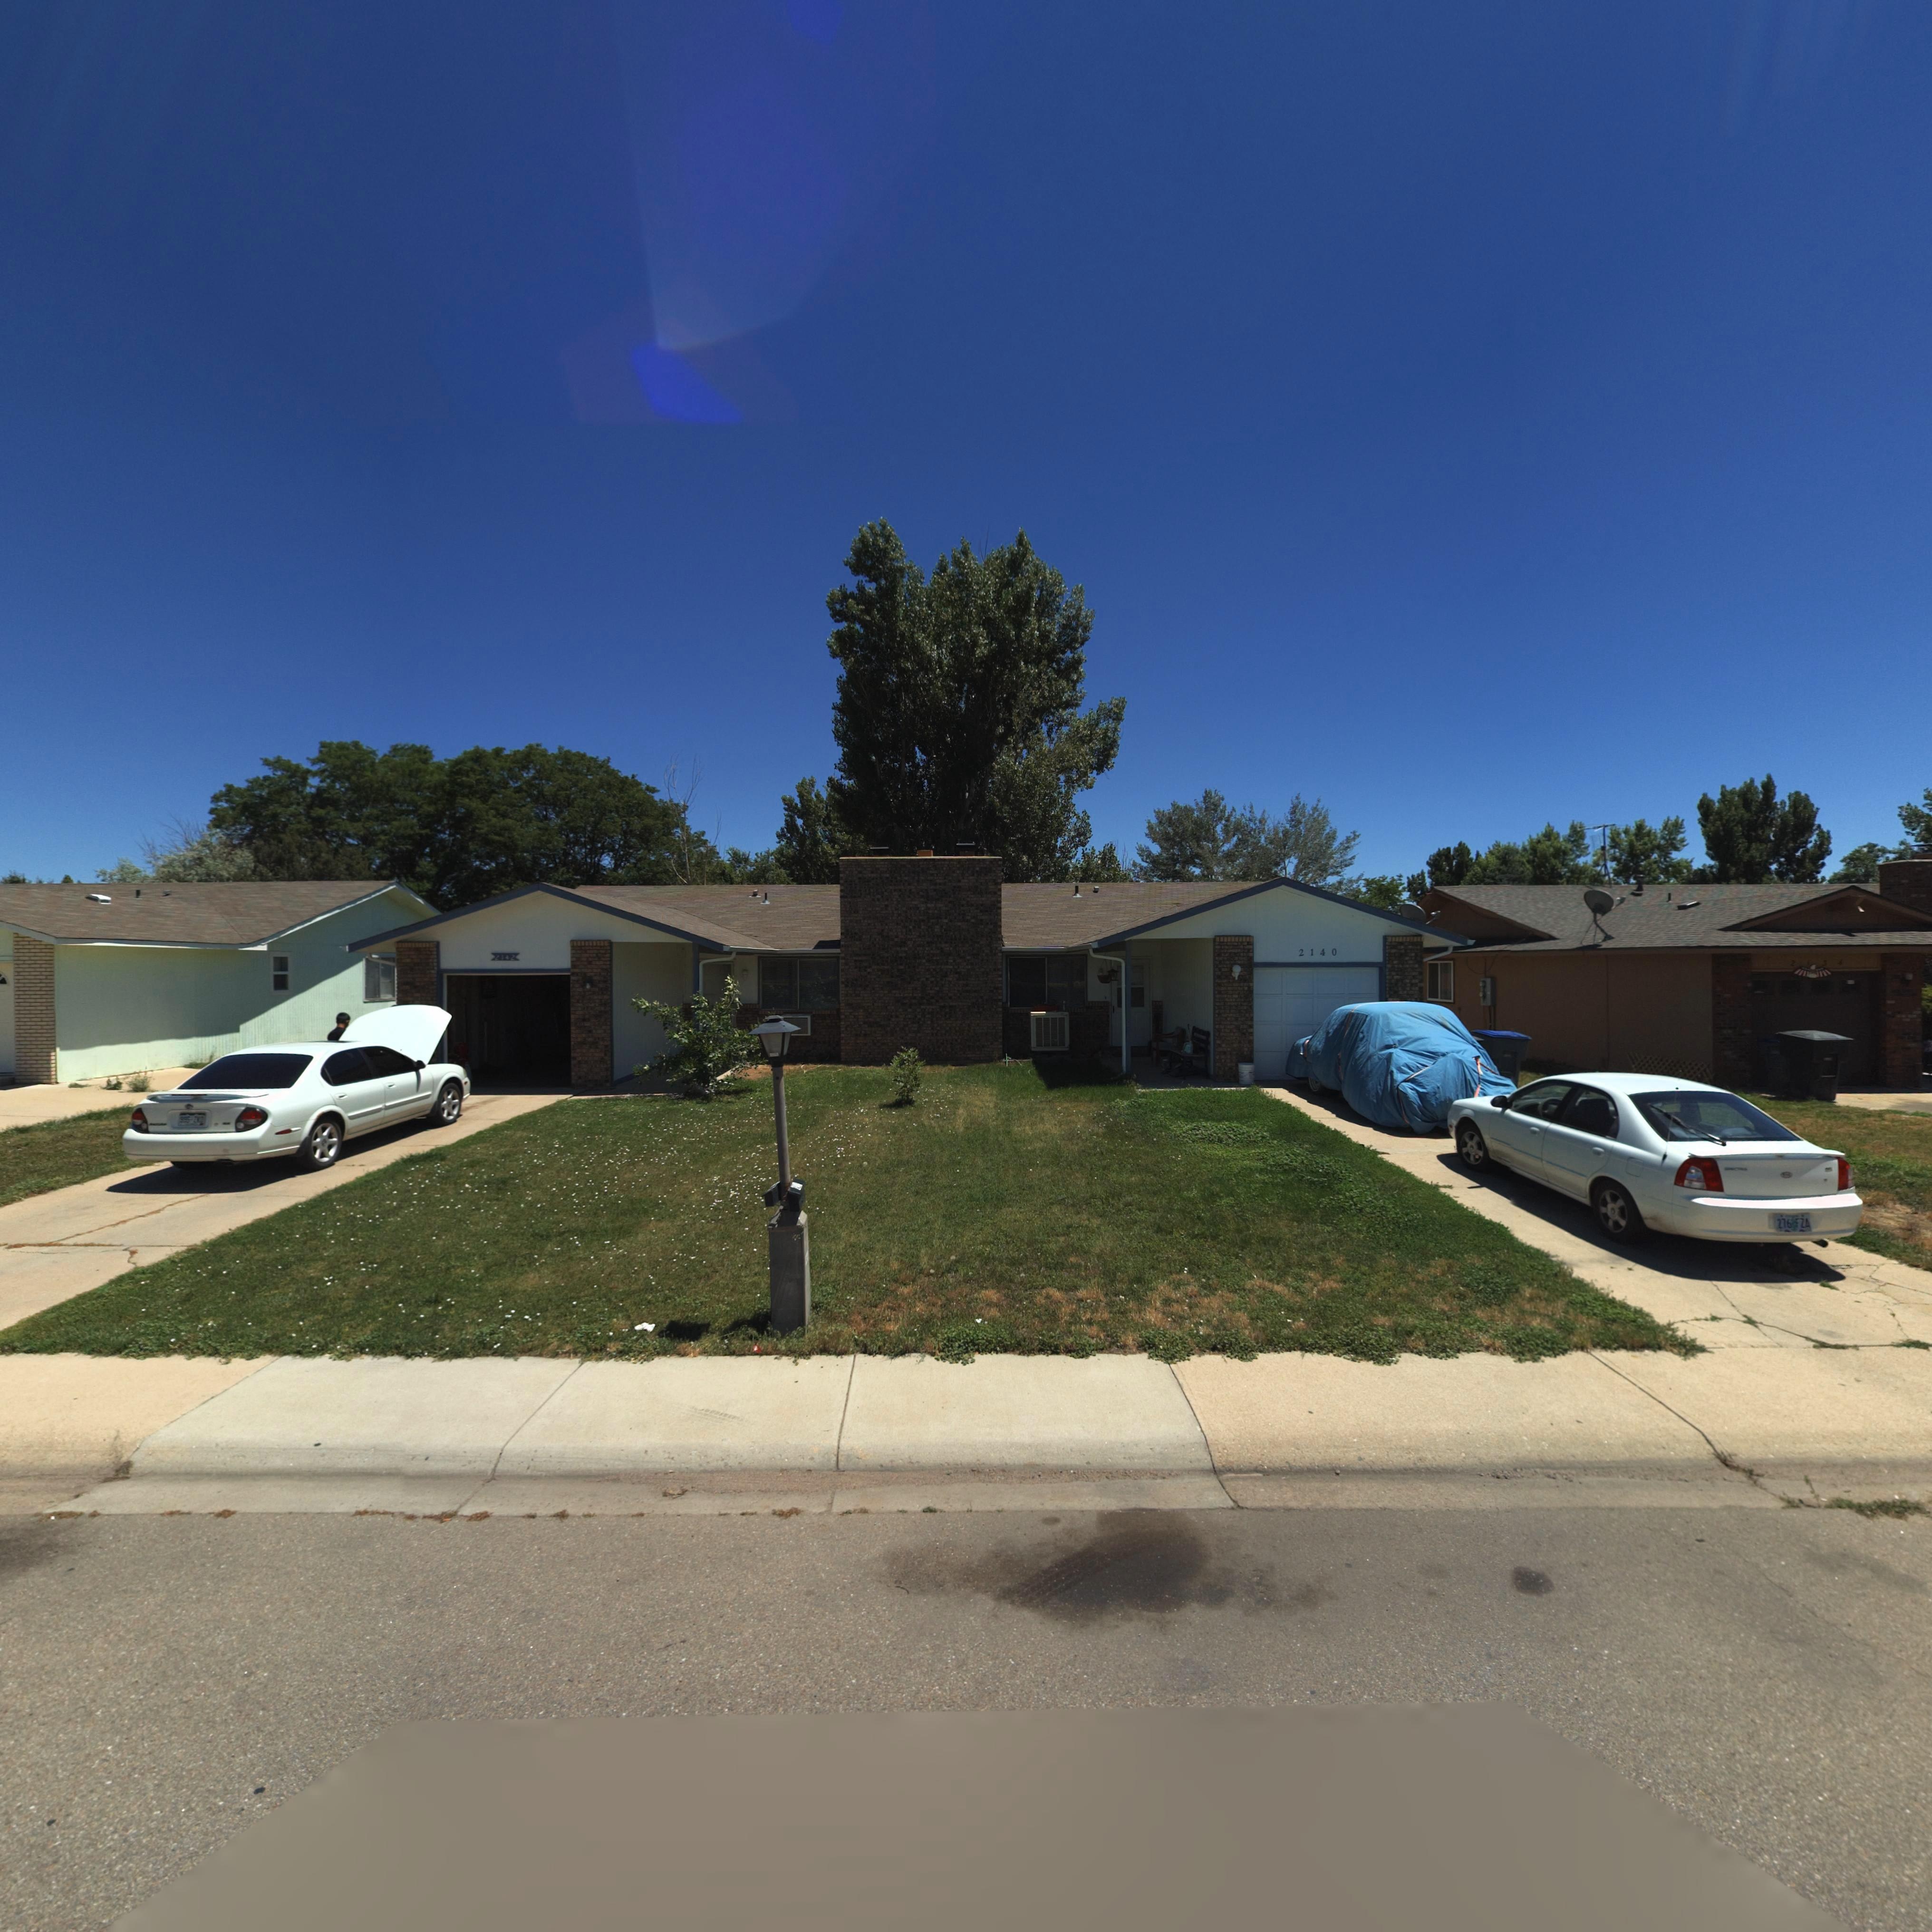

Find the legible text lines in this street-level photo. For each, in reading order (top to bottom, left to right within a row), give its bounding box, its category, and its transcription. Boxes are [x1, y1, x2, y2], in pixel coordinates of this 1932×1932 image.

[1297, 947, 1338, 957] StreetNumber: 2140
[493, 953, 515, 960] StreetNumber: 2142
[1789, 958, 1844, 967] StreetNumber: 2134